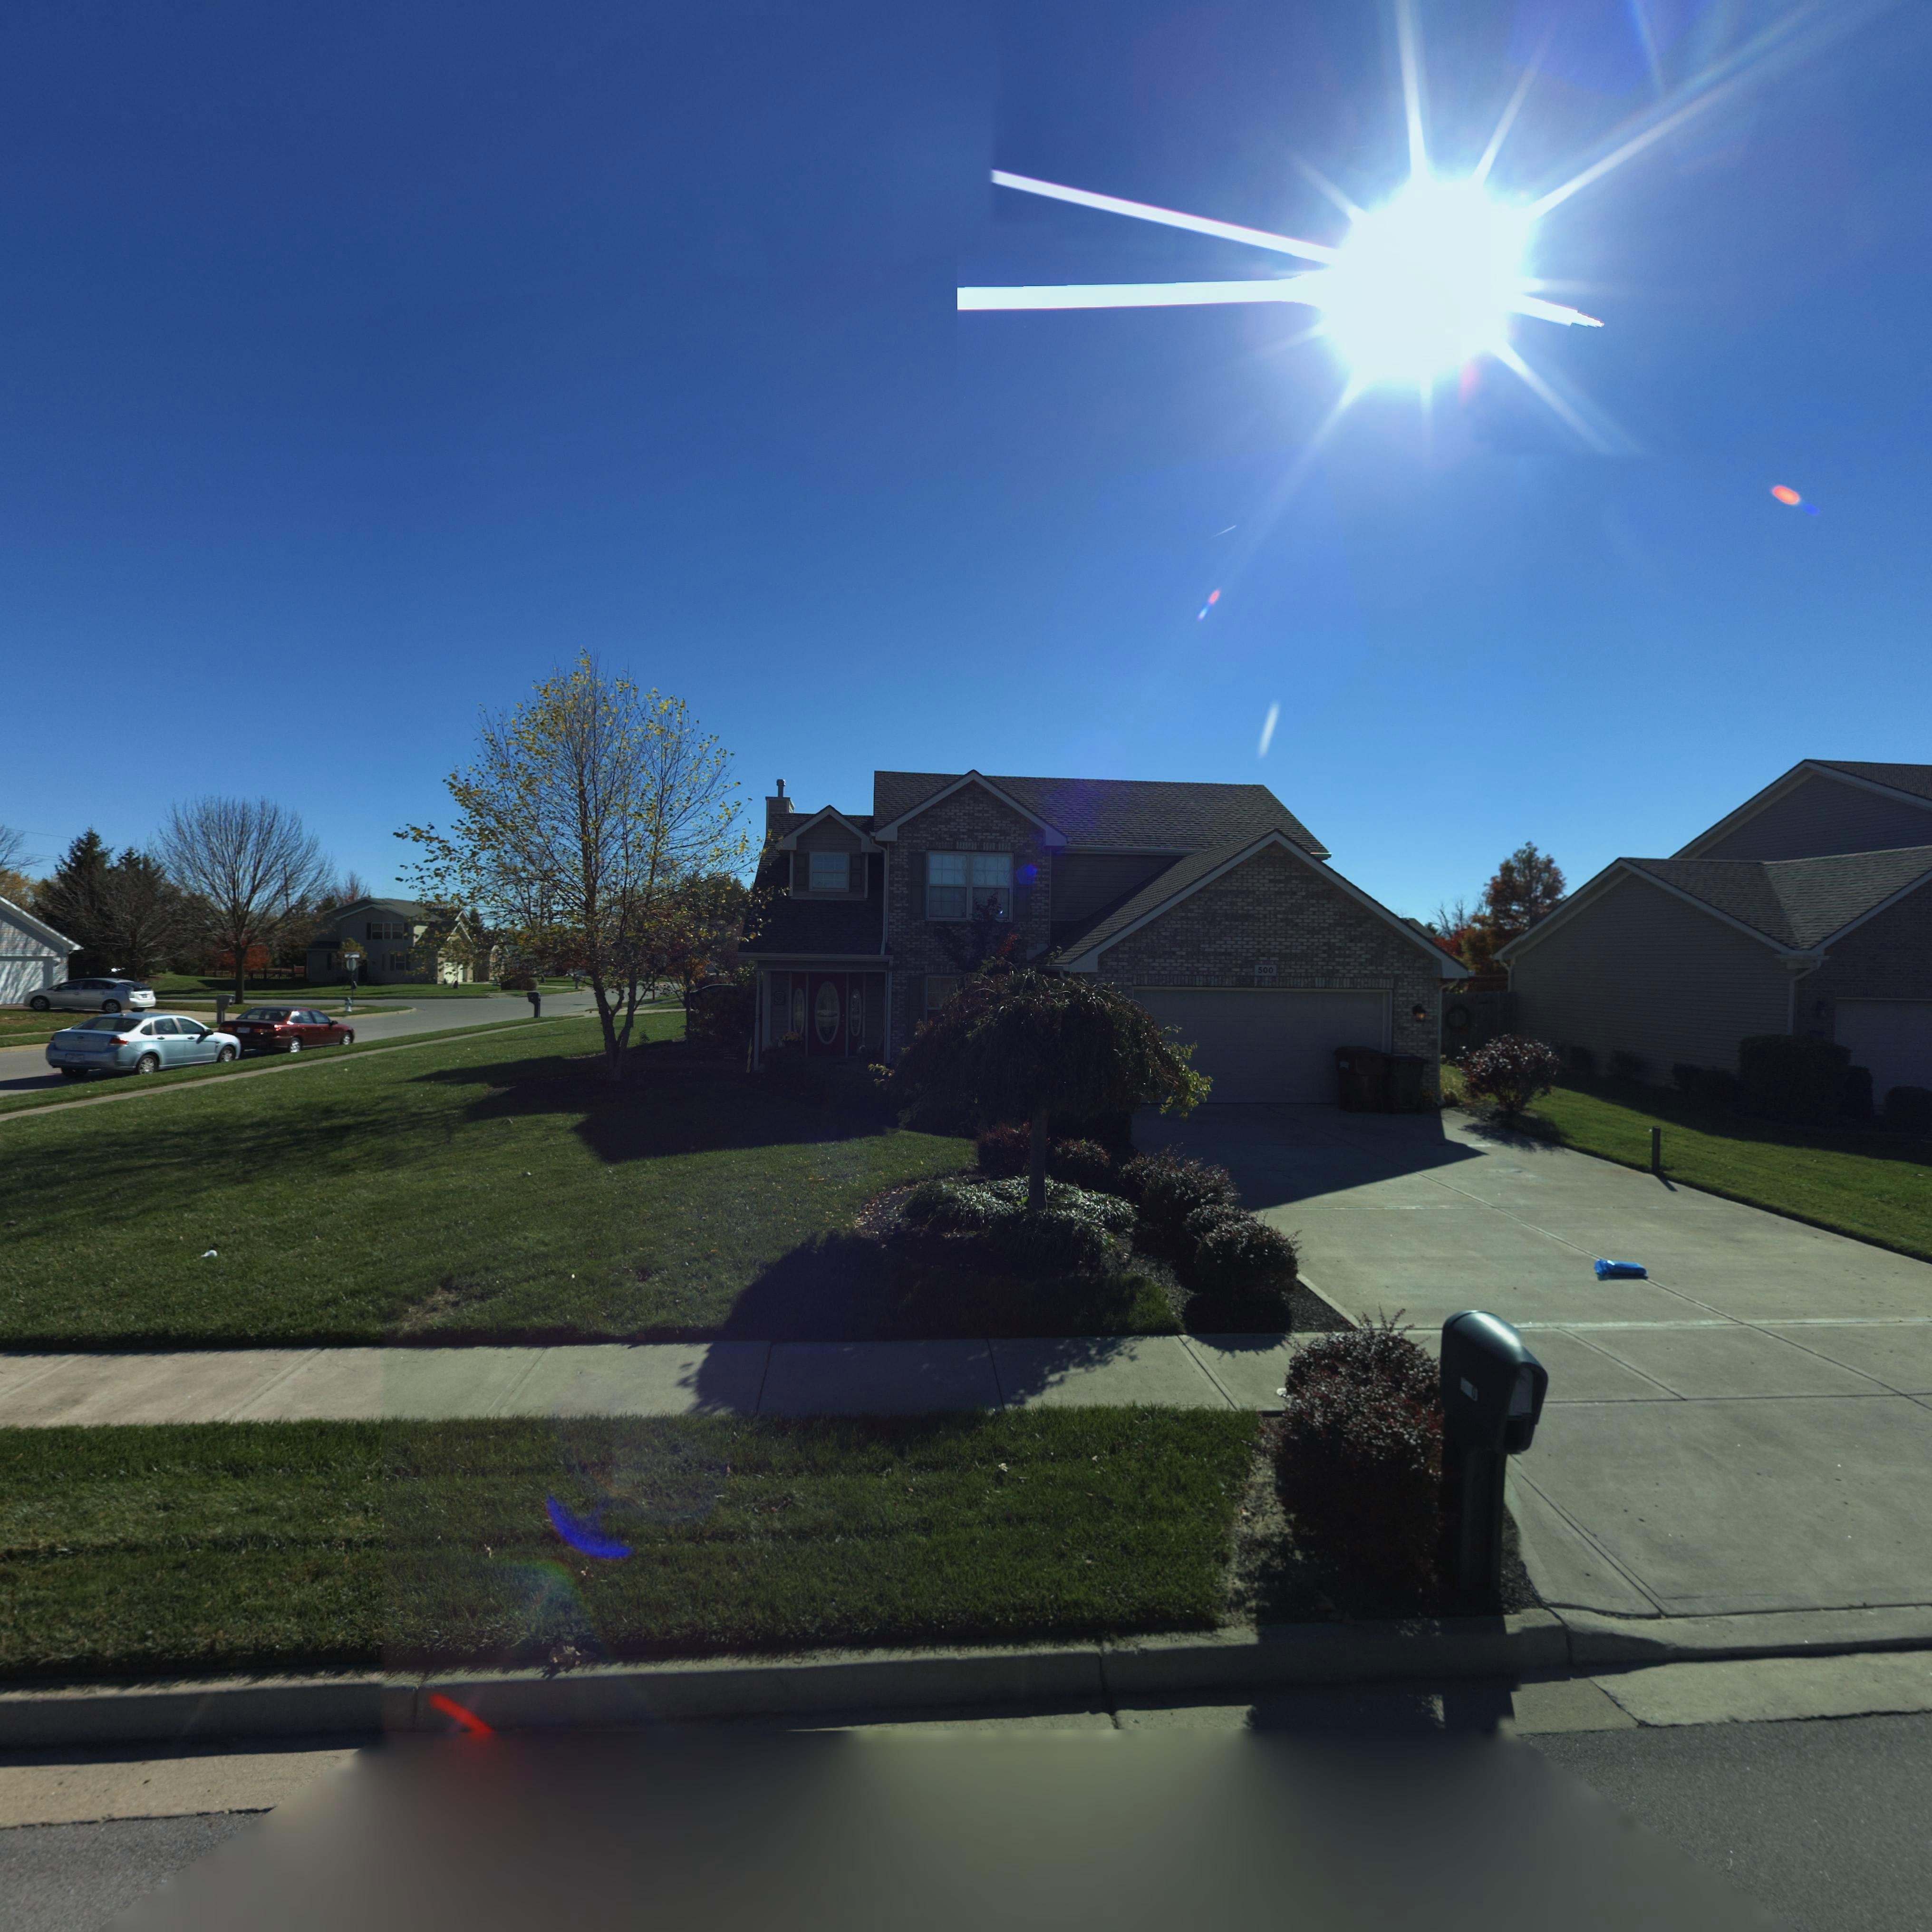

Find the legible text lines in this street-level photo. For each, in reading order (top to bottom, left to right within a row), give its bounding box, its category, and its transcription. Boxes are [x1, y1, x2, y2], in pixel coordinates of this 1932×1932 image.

[1257, 966, 1274, 975] StreetNumber: 500
[1471, 1386, 1477, 1401] StreetNumber: 0